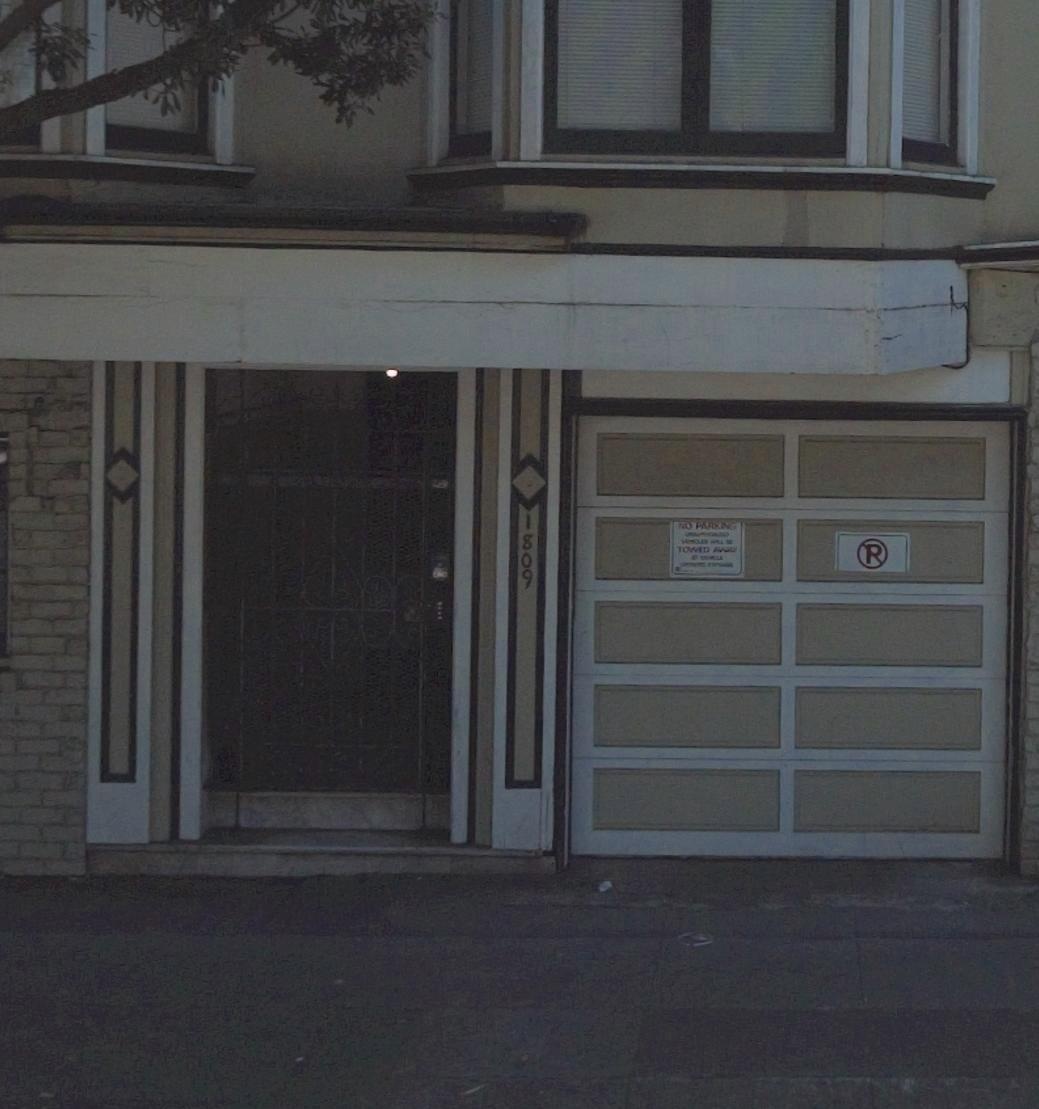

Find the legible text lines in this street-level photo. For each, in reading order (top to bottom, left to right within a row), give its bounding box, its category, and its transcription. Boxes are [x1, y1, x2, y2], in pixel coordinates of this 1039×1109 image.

[676, 519, 736, 531] None: NO PARKING\
[520, 513, 537, 594] StreetNumber: 1809
[674, 544, 737, 555] None: TOWED AWAY